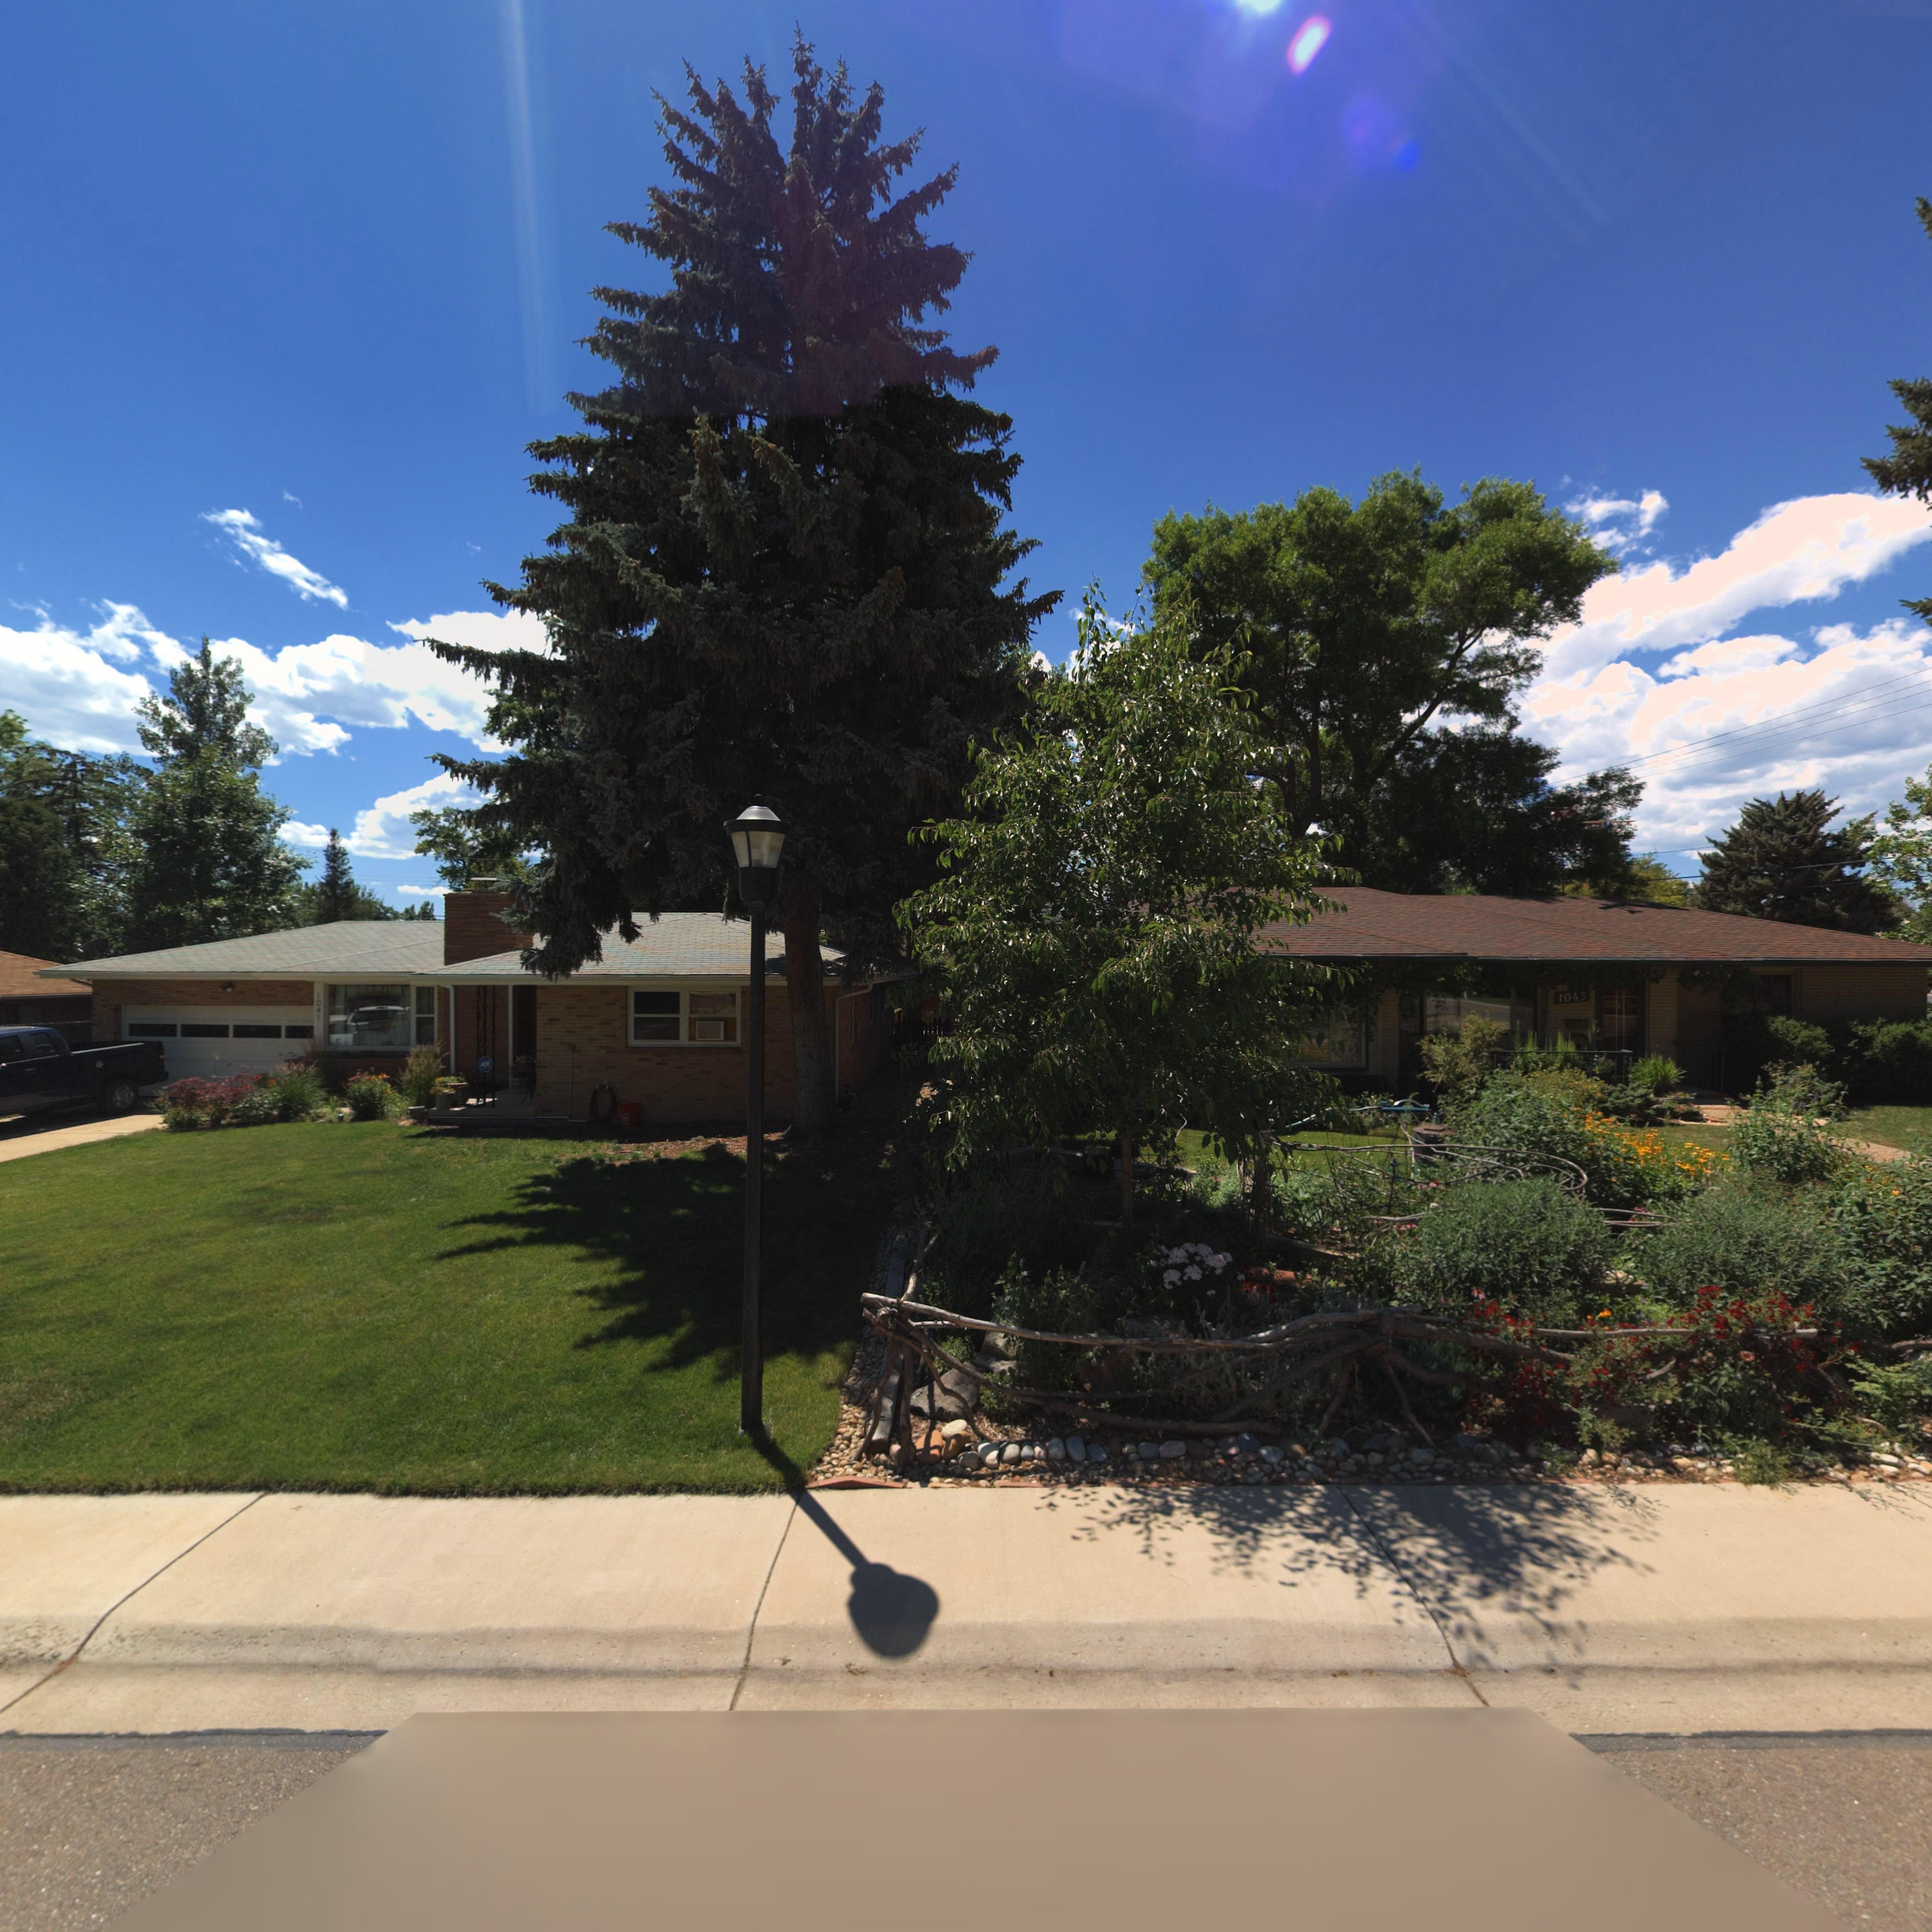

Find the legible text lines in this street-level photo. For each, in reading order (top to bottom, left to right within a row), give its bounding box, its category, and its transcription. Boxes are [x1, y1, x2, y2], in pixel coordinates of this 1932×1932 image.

[315, 992, 321, 1021] StreetNumber: 1041
[1559, 991, 1586, 1003] StreetNumber: 1045